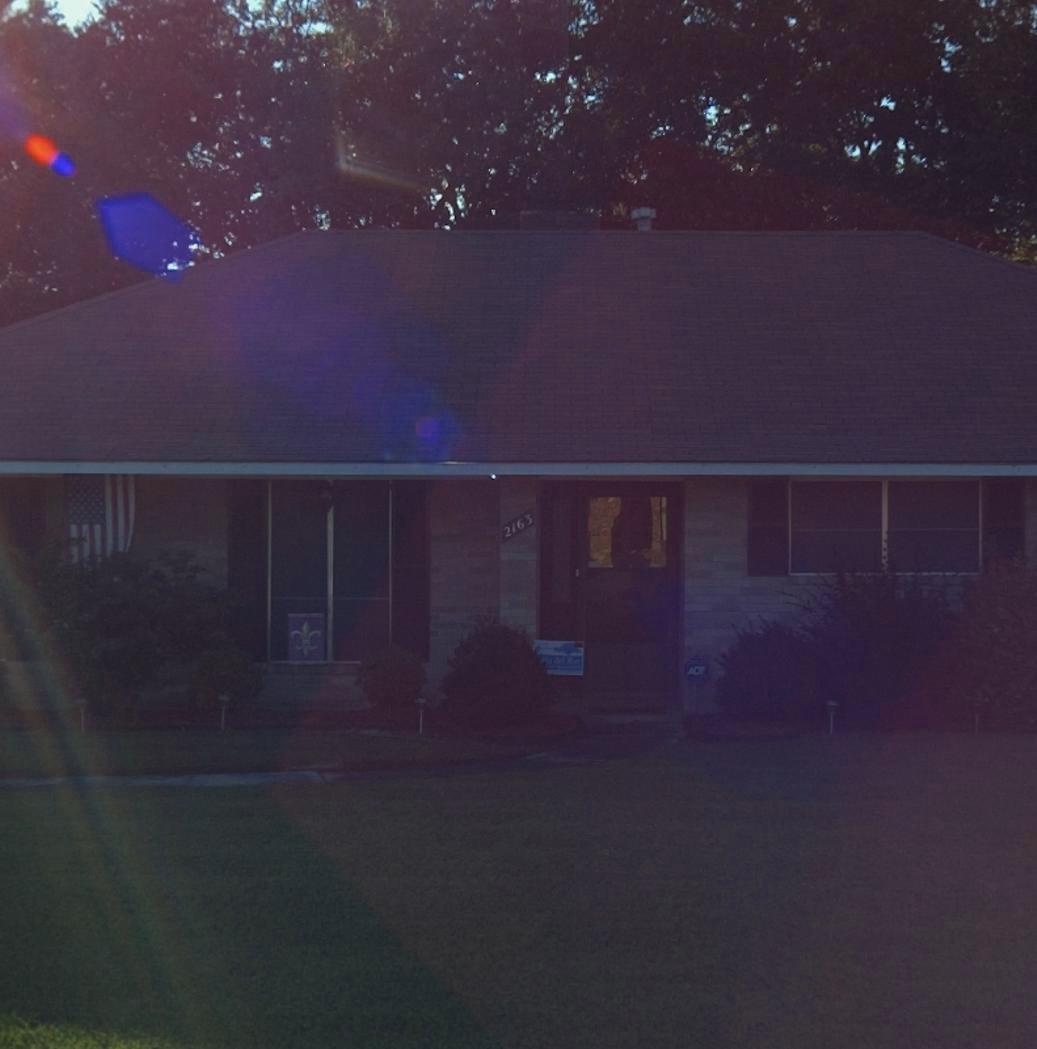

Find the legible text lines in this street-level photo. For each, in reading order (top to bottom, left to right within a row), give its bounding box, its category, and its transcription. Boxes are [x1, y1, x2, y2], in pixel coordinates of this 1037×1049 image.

[502, 510, 536, 541] StreetNumber: 2163
[684, 663, 707, 676] None: ADT